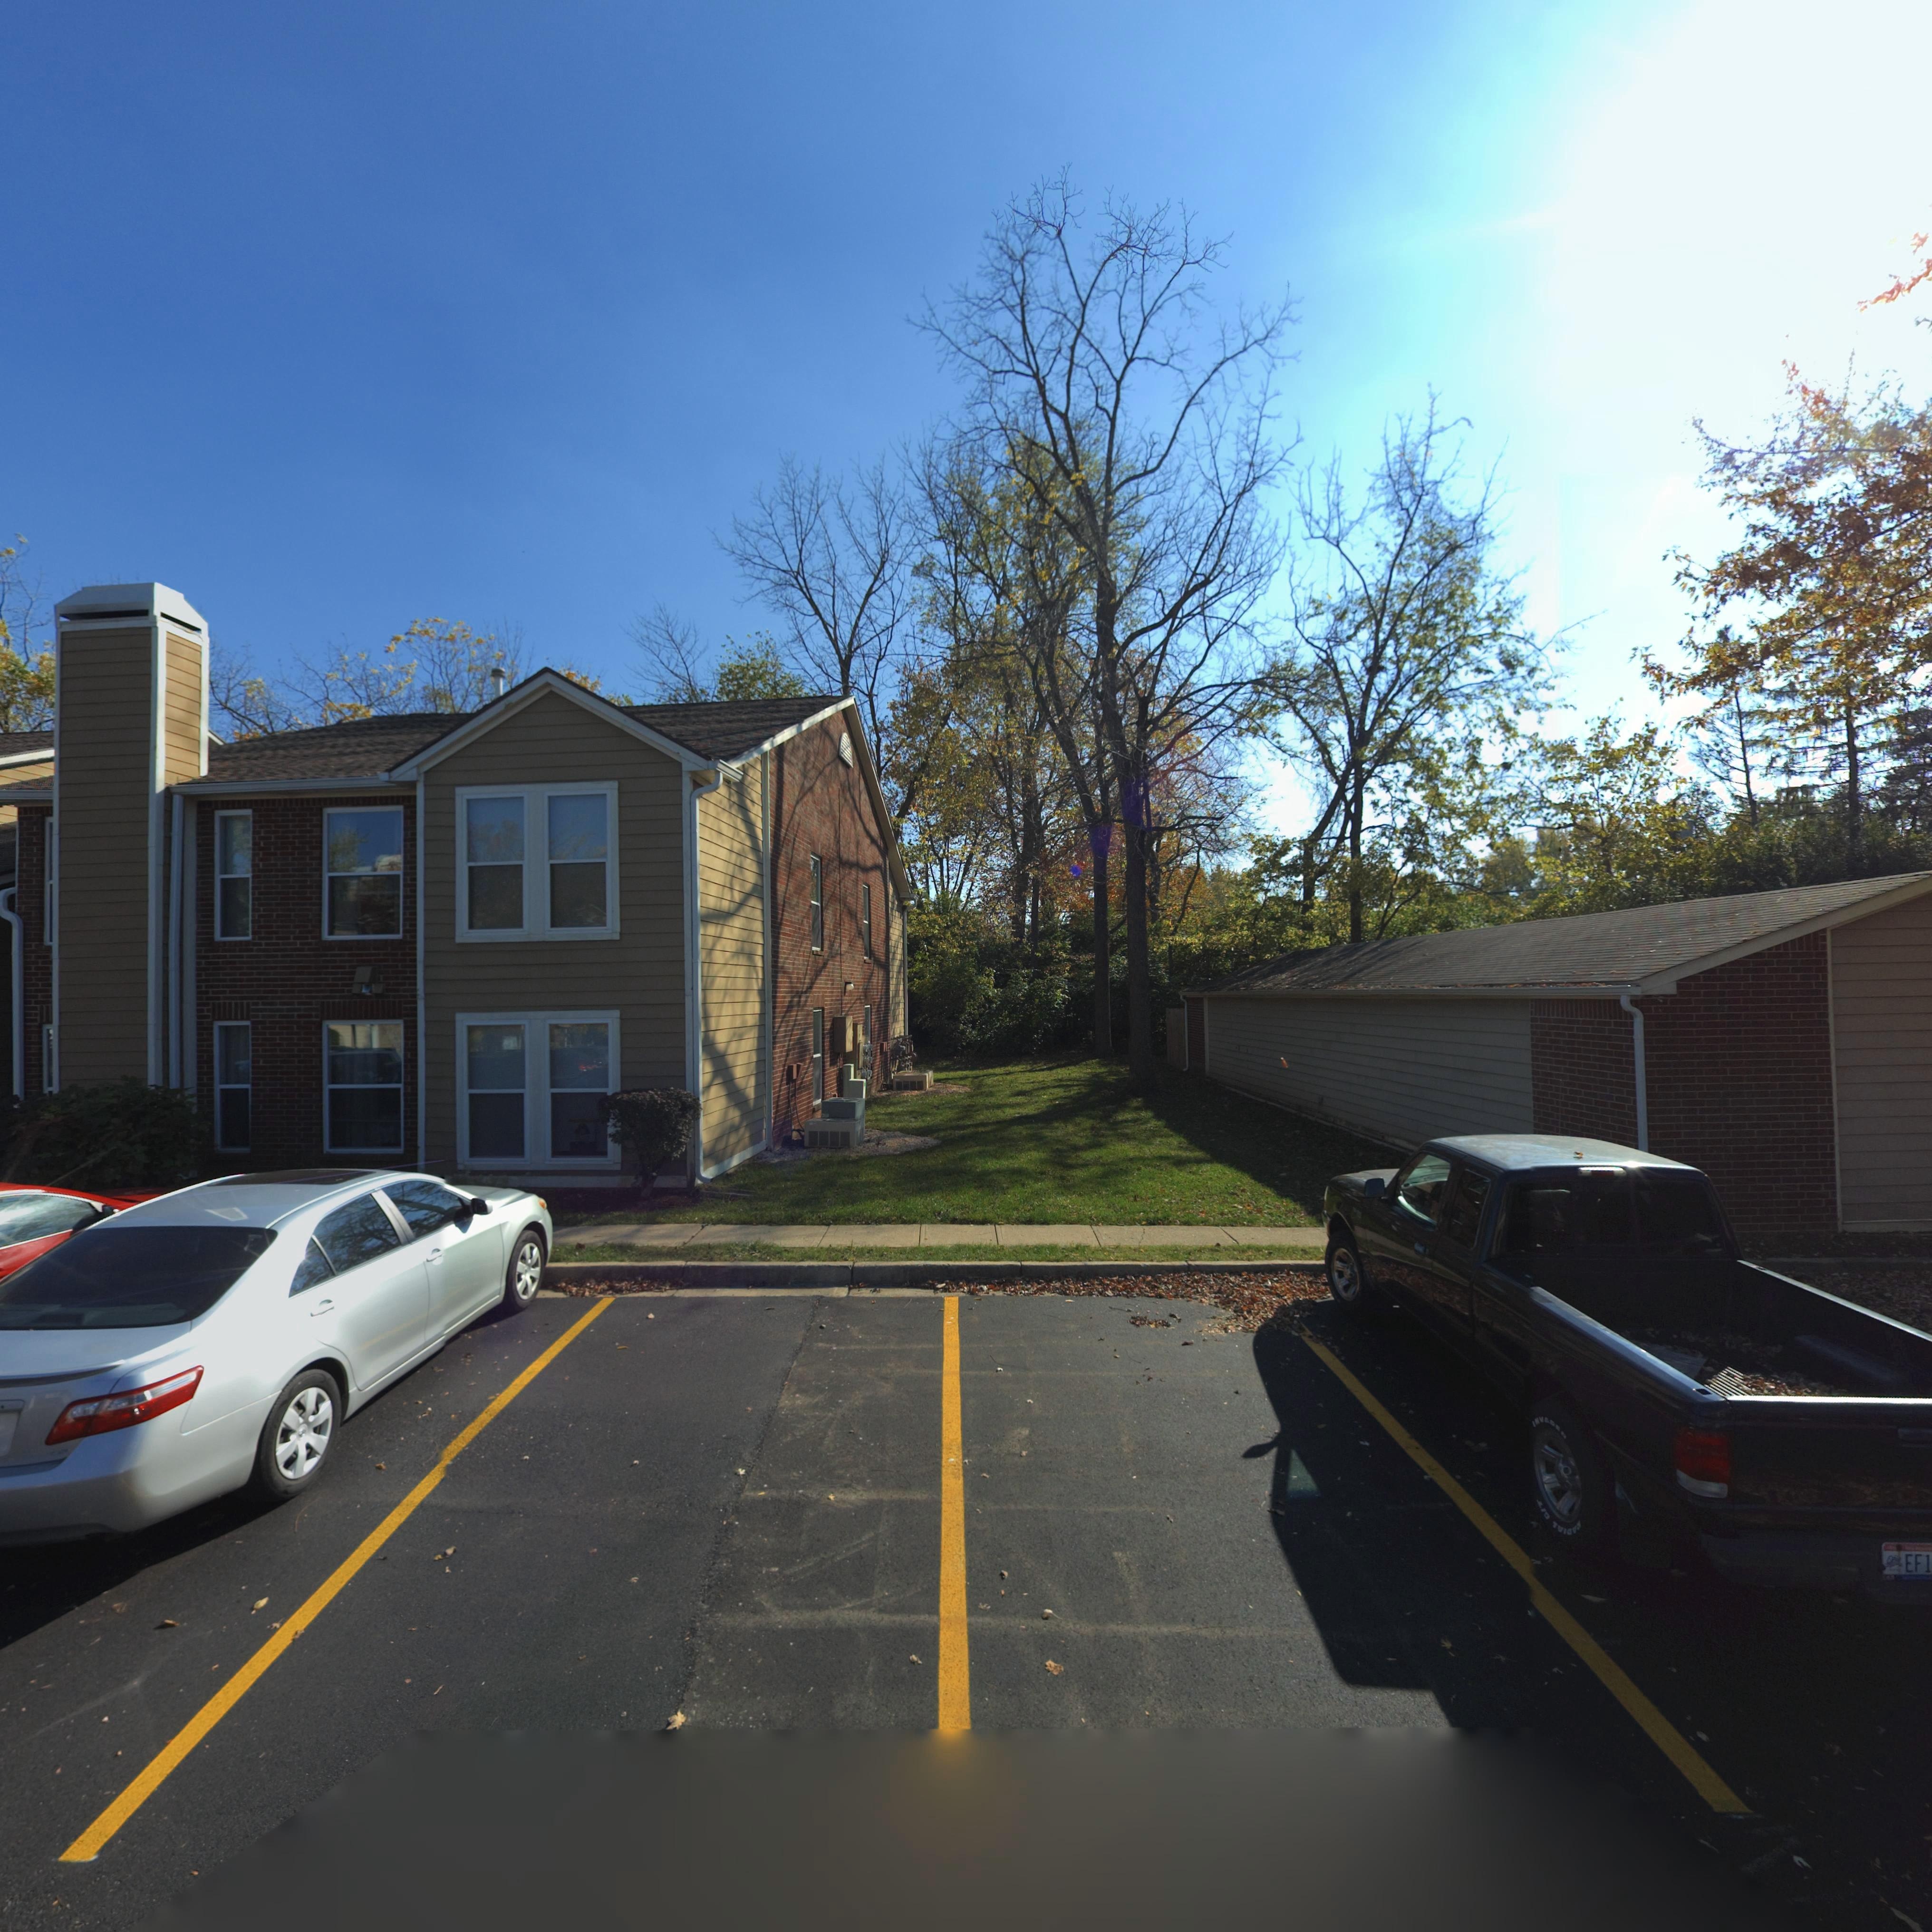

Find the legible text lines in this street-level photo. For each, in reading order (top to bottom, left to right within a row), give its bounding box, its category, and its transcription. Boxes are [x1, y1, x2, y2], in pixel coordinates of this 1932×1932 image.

[1904, 1553, 1931, 1574] None: EF1